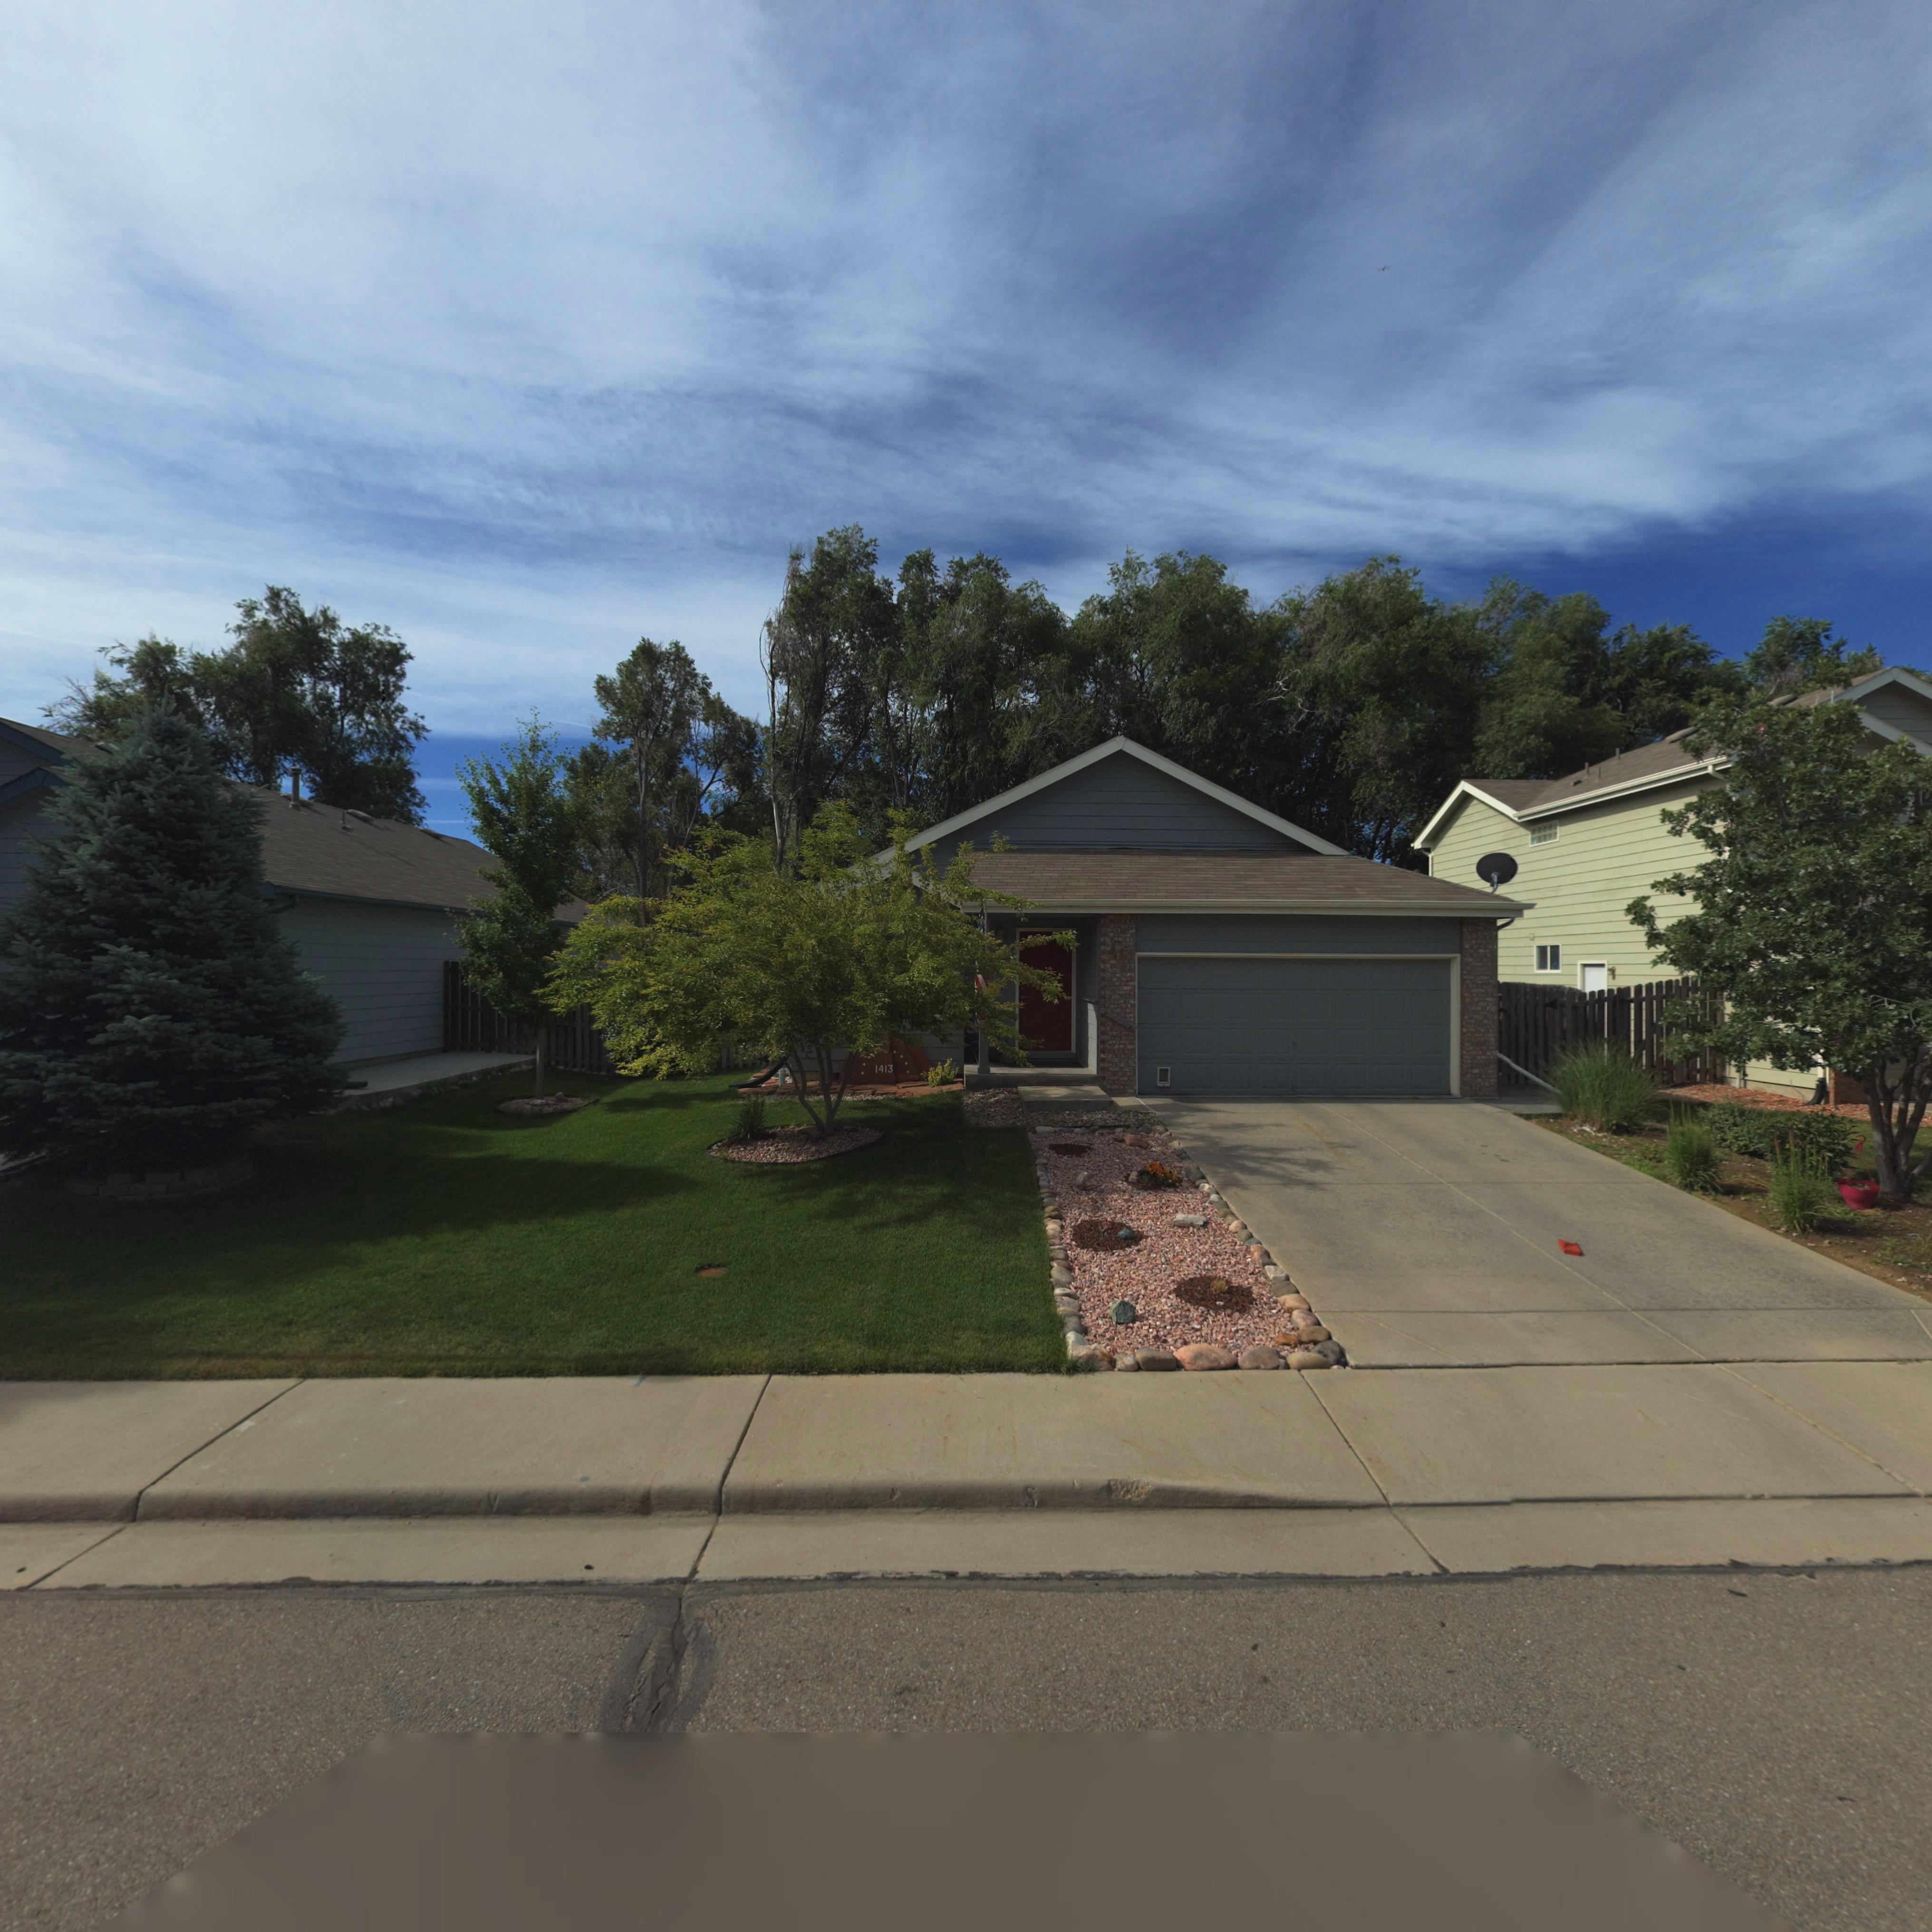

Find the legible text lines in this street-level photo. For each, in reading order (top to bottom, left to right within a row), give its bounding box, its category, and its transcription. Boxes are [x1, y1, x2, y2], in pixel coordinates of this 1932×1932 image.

[875, 1064, 893, 1073] StreetNumber: 1413